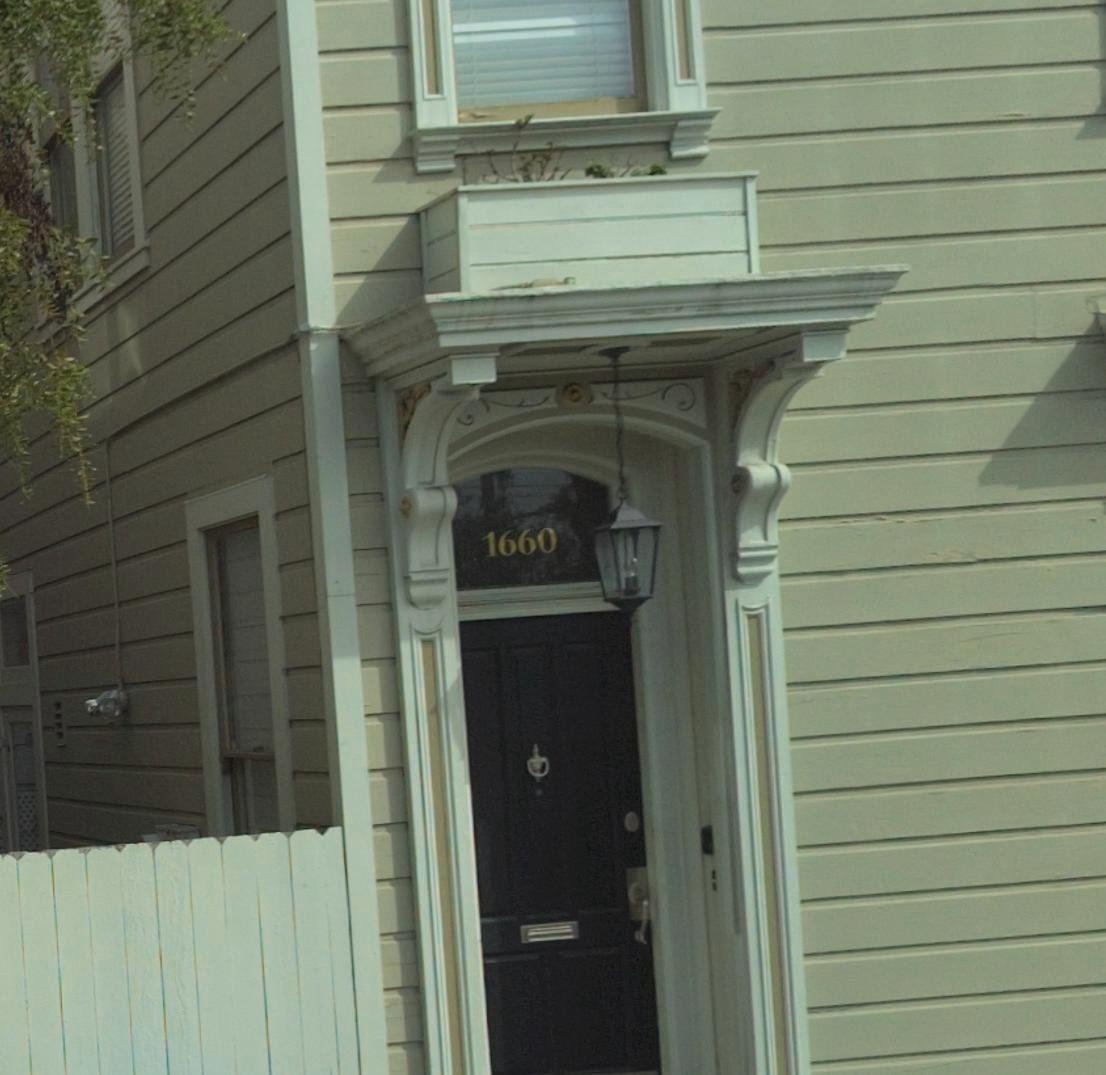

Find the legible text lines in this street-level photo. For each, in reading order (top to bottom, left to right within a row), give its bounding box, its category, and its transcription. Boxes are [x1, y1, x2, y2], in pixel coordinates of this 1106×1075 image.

[479, 523, 560, 560] StreetNumber: 1660